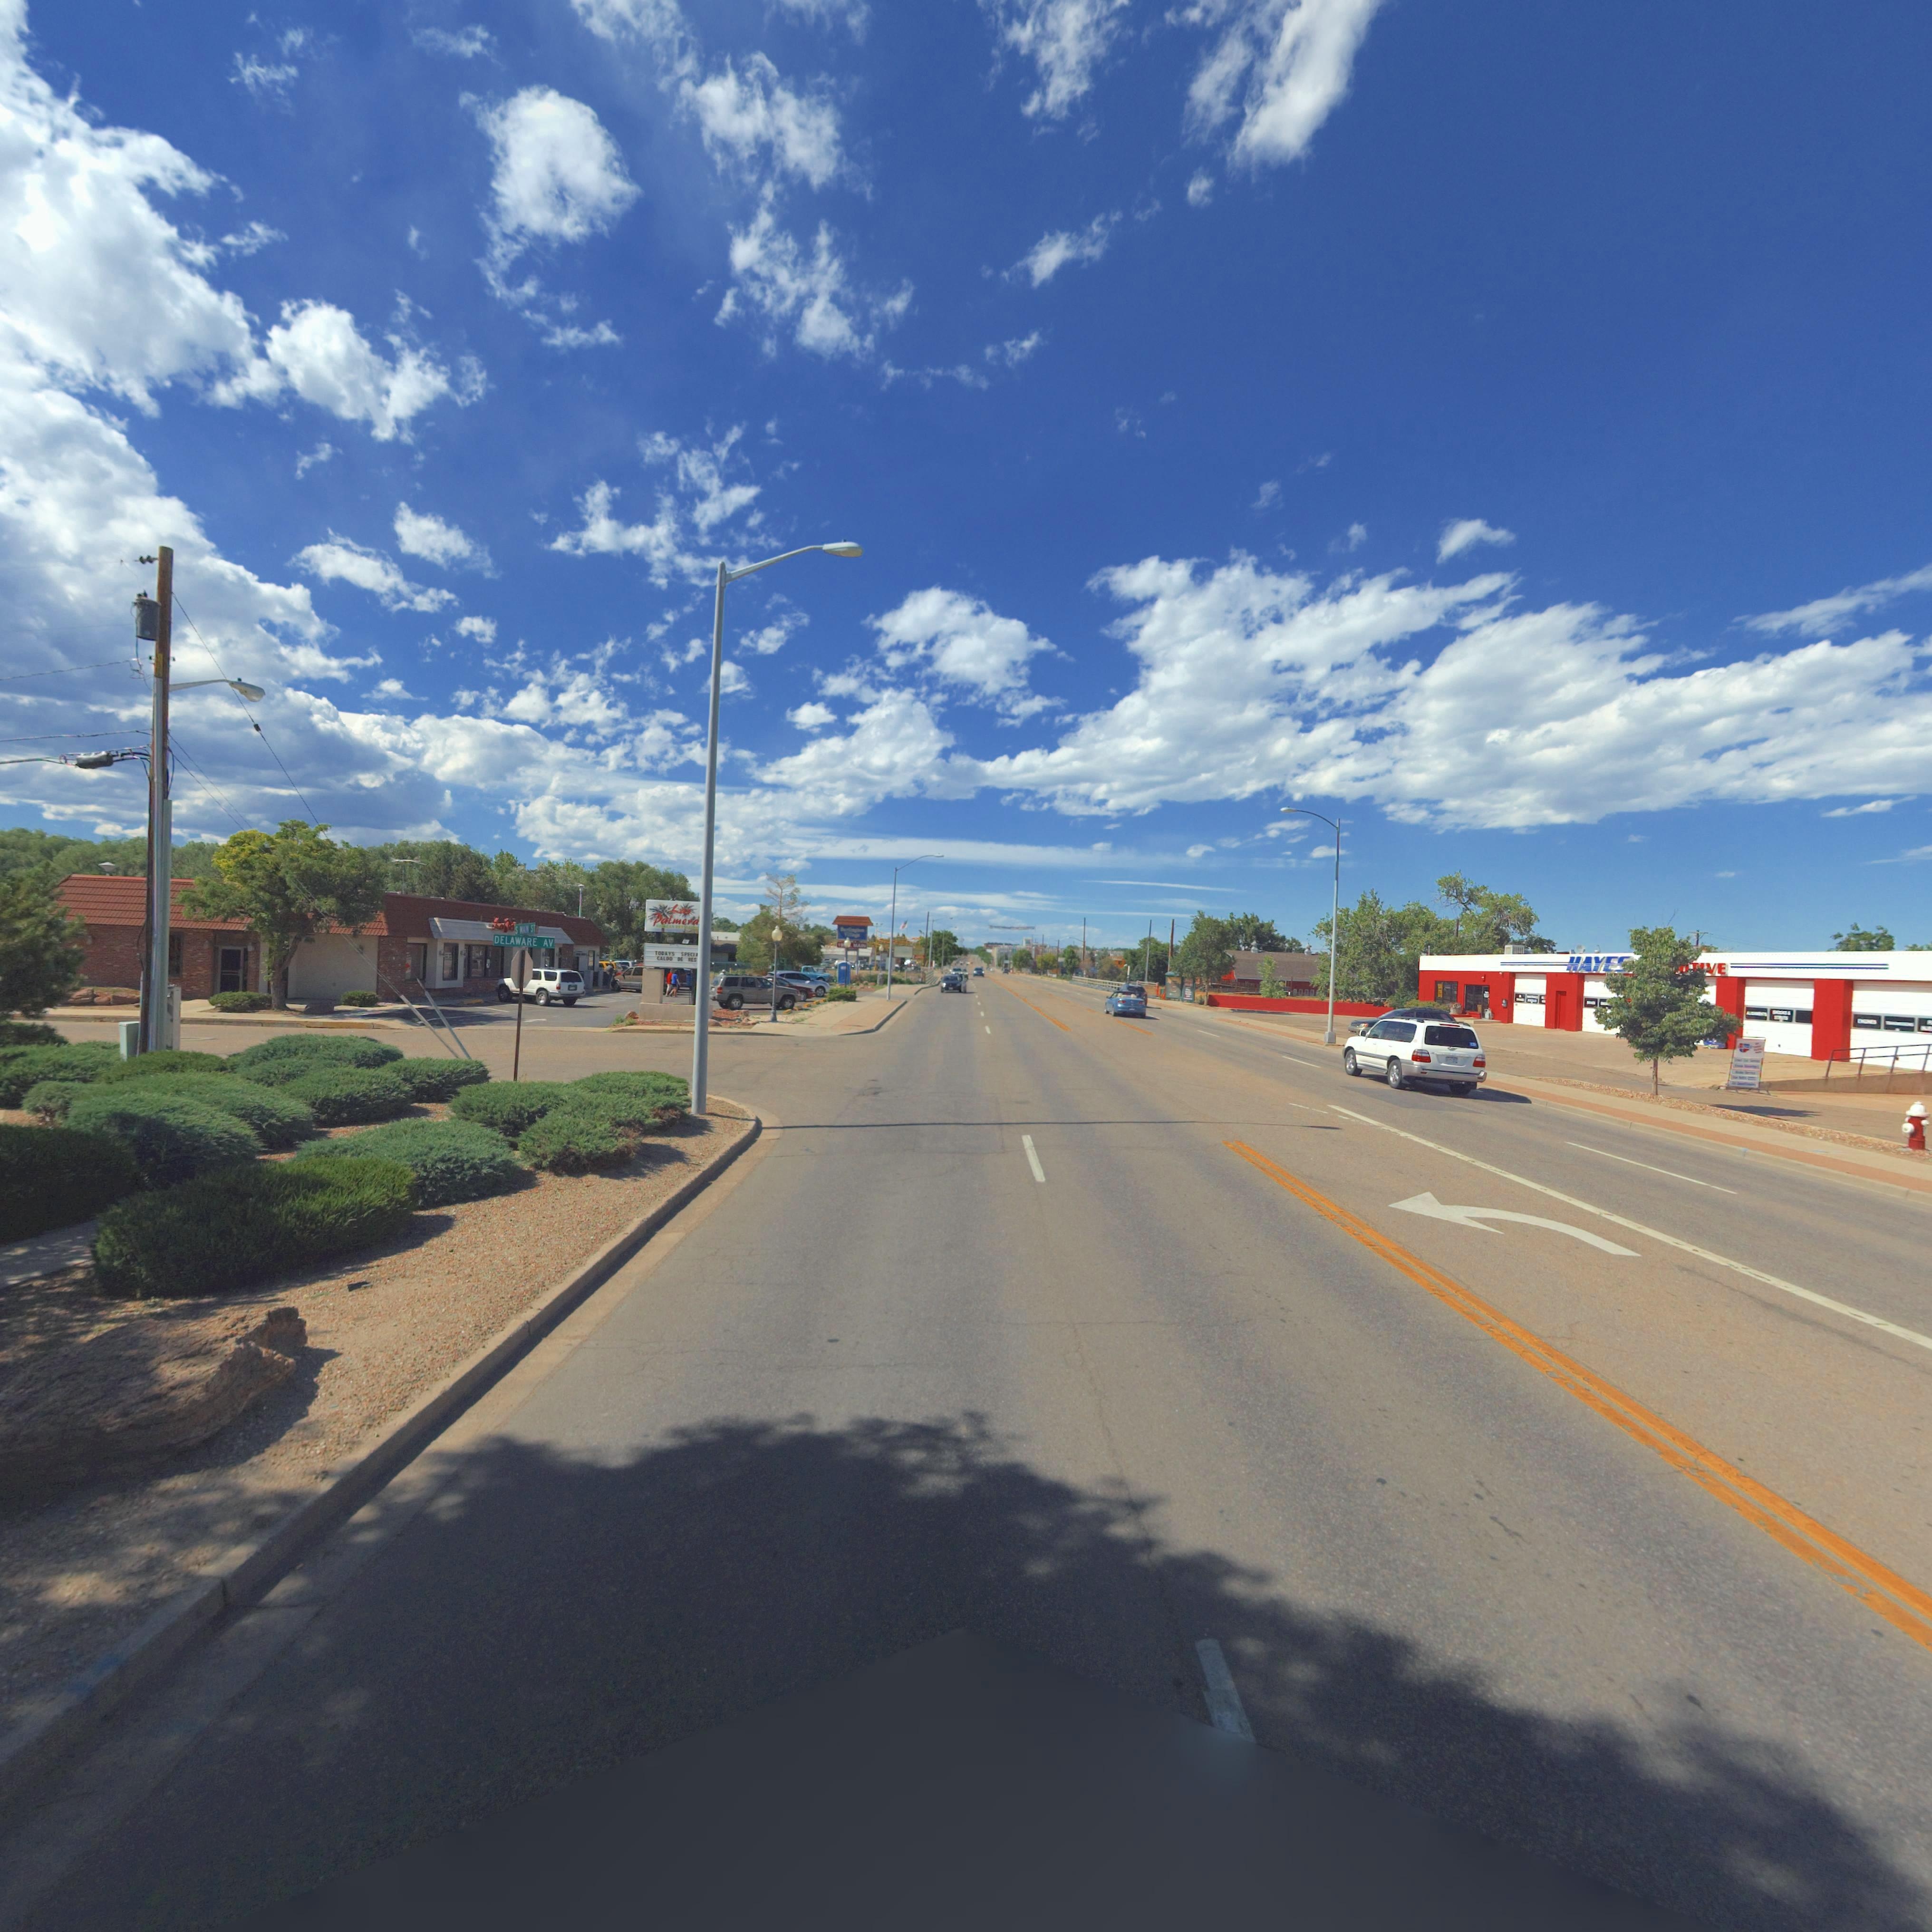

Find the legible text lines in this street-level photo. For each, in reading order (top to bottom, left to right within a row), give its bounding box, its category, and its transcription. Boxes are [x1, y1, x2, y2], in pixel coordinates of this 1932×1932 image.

[669, 903, 691, 915] BusinessName: Las
[491, 917, 514, 933] BusinessName: La* Pa
[514, 924, 535, 935] StreetName: S M**N ST
[650, 911, 699, 927] BusinessName: Palmera
[493, 935, 554, 947] StreetName: DELAWARE AV
[837, 942, 840, 947] StreetNumber: 1
[853, 943, 866, 948] StreetName: MA*N
[1565, 955, 1632, 973] BusinessName: HAYES
[1678, 962, 1727, 975] BusinessName: OTIVE